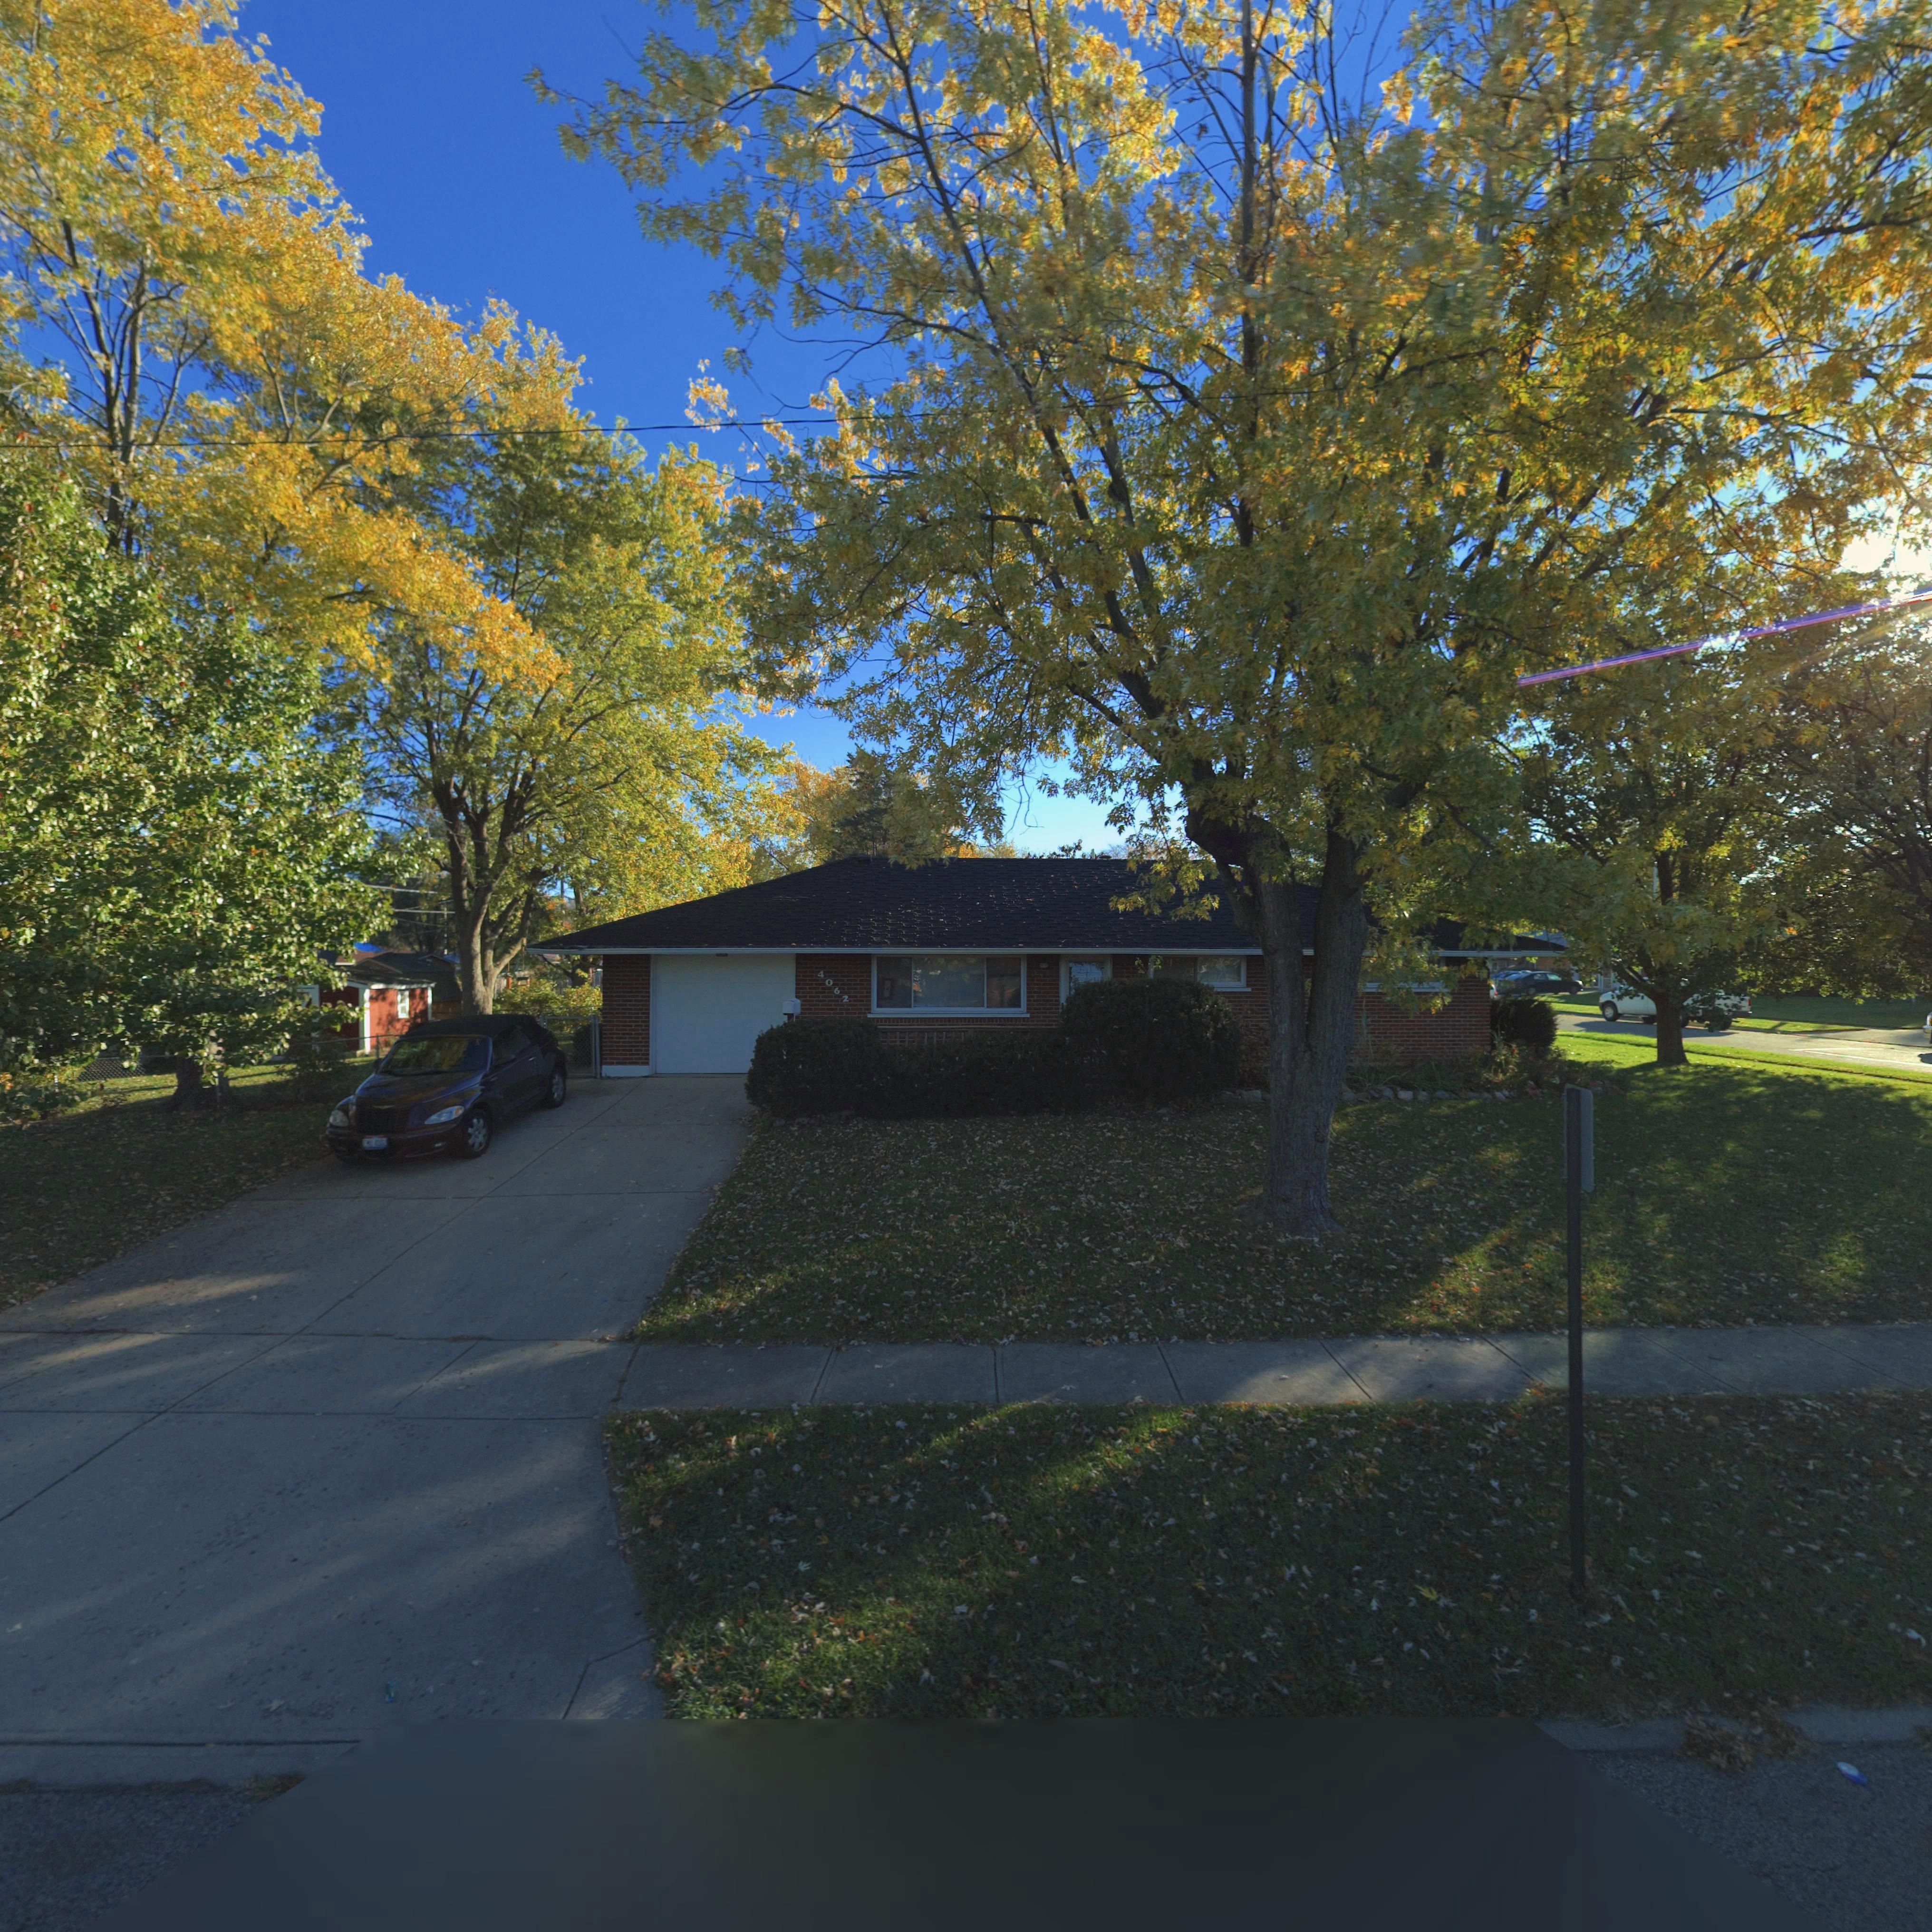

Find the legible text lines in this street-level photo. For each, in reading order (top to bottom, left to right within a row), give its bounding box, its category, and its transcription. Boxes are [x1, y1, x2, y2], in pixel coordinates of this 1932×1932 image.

[817, 970, 850, 1002] StreetNumber: 4062